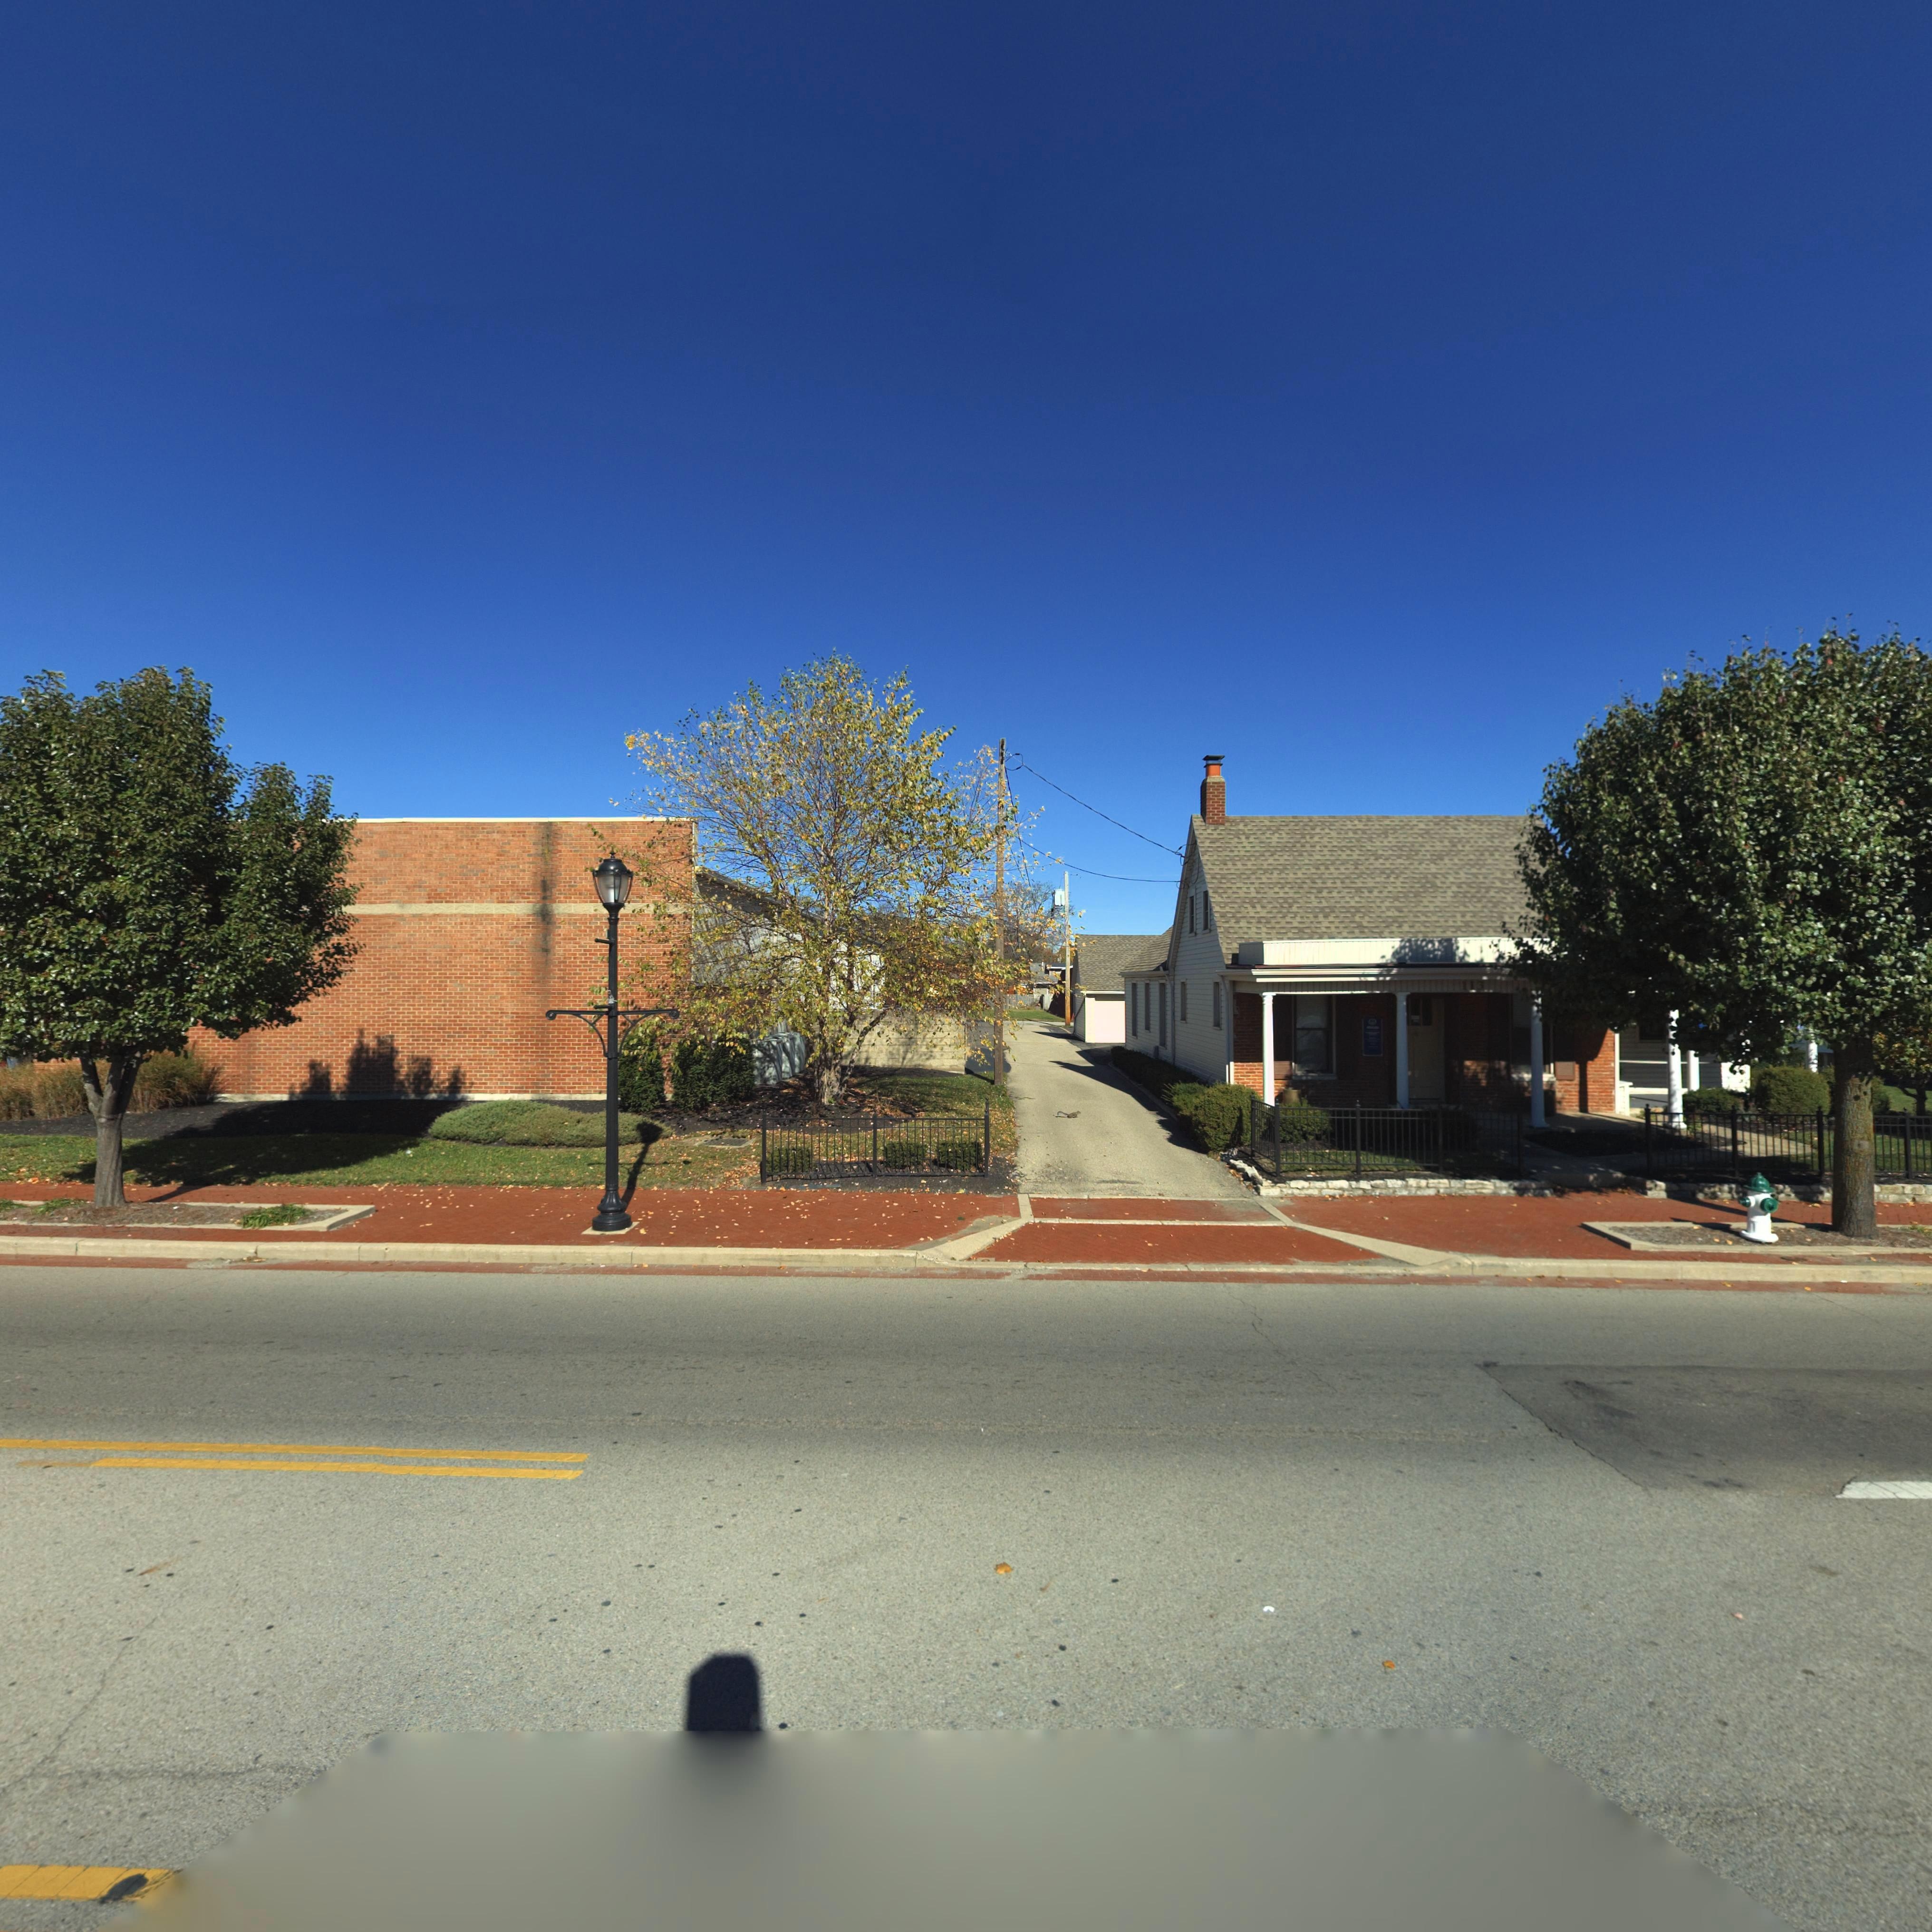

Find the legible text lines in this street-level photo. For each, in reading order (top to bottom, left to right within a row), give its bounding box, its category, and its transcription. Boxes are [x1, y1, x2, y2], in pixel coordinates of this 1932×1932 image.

[1461, 979, 1484, 990] StreetNumber: 113